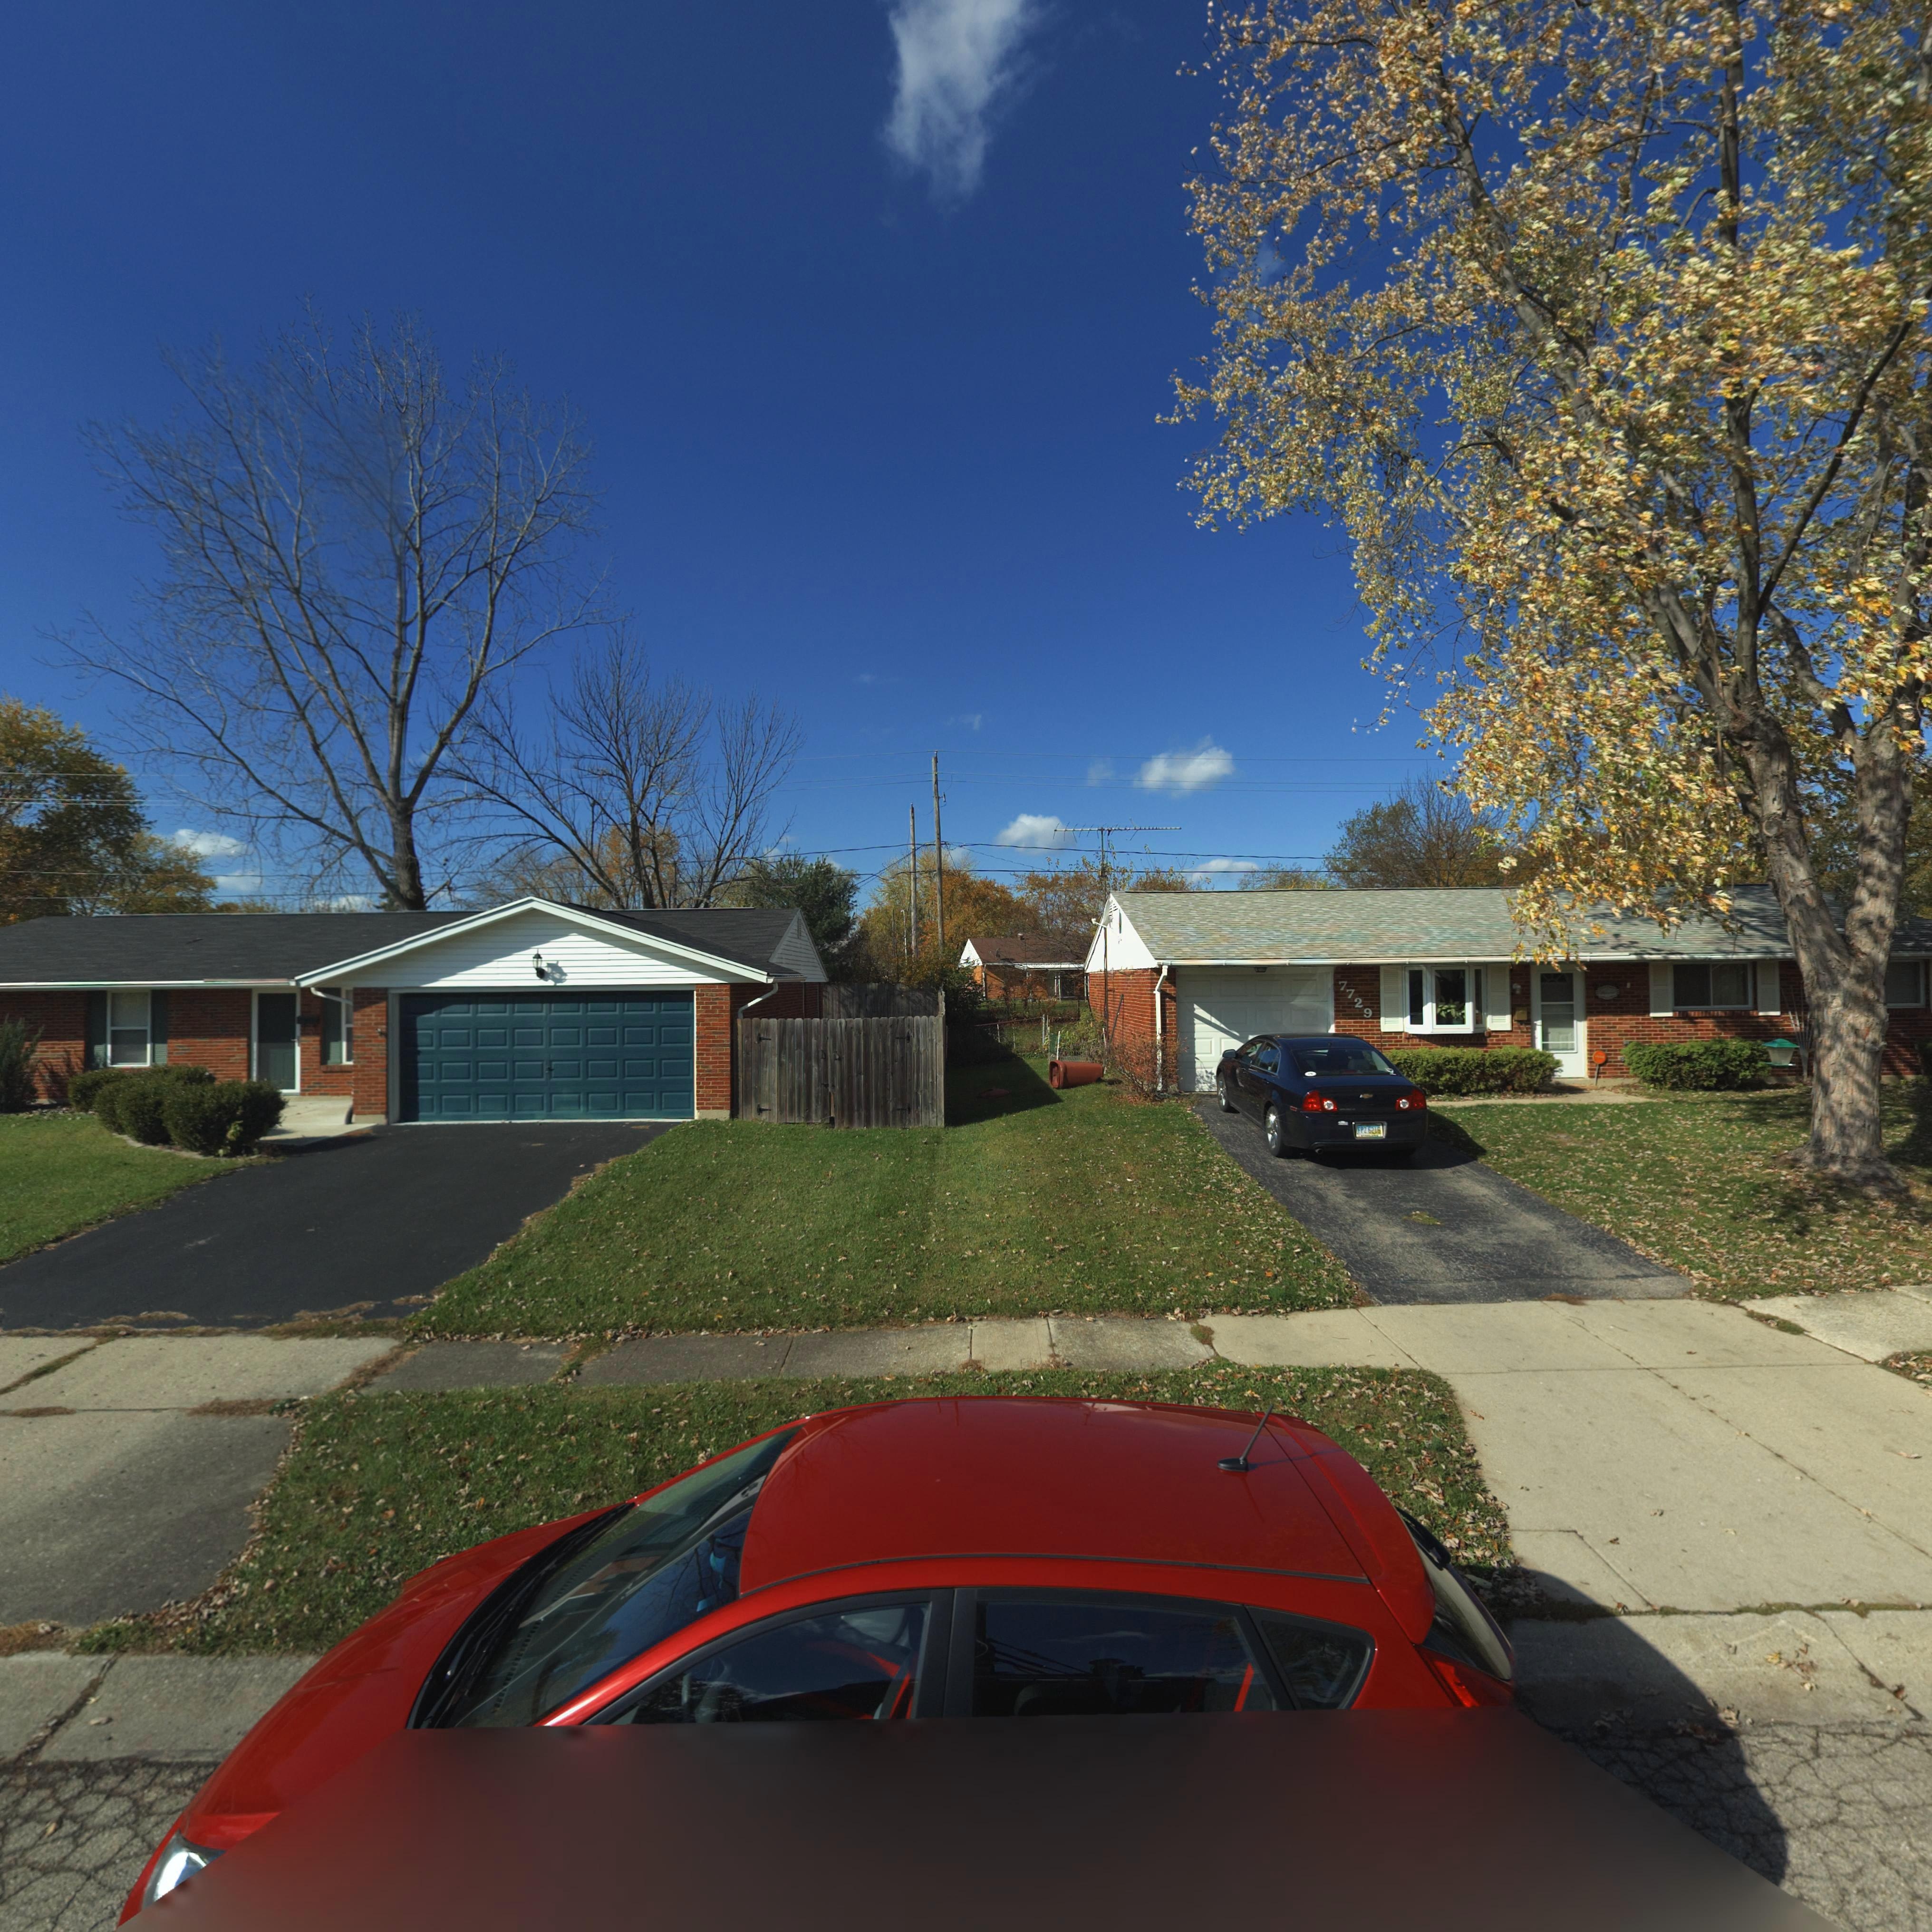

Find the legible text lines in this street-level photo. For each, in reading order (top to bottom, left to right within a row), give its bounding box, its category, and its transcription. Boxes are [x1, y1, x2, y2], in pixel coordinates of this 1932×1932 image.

[1337, 980, 1374, 1019] StreetNumber: 7729